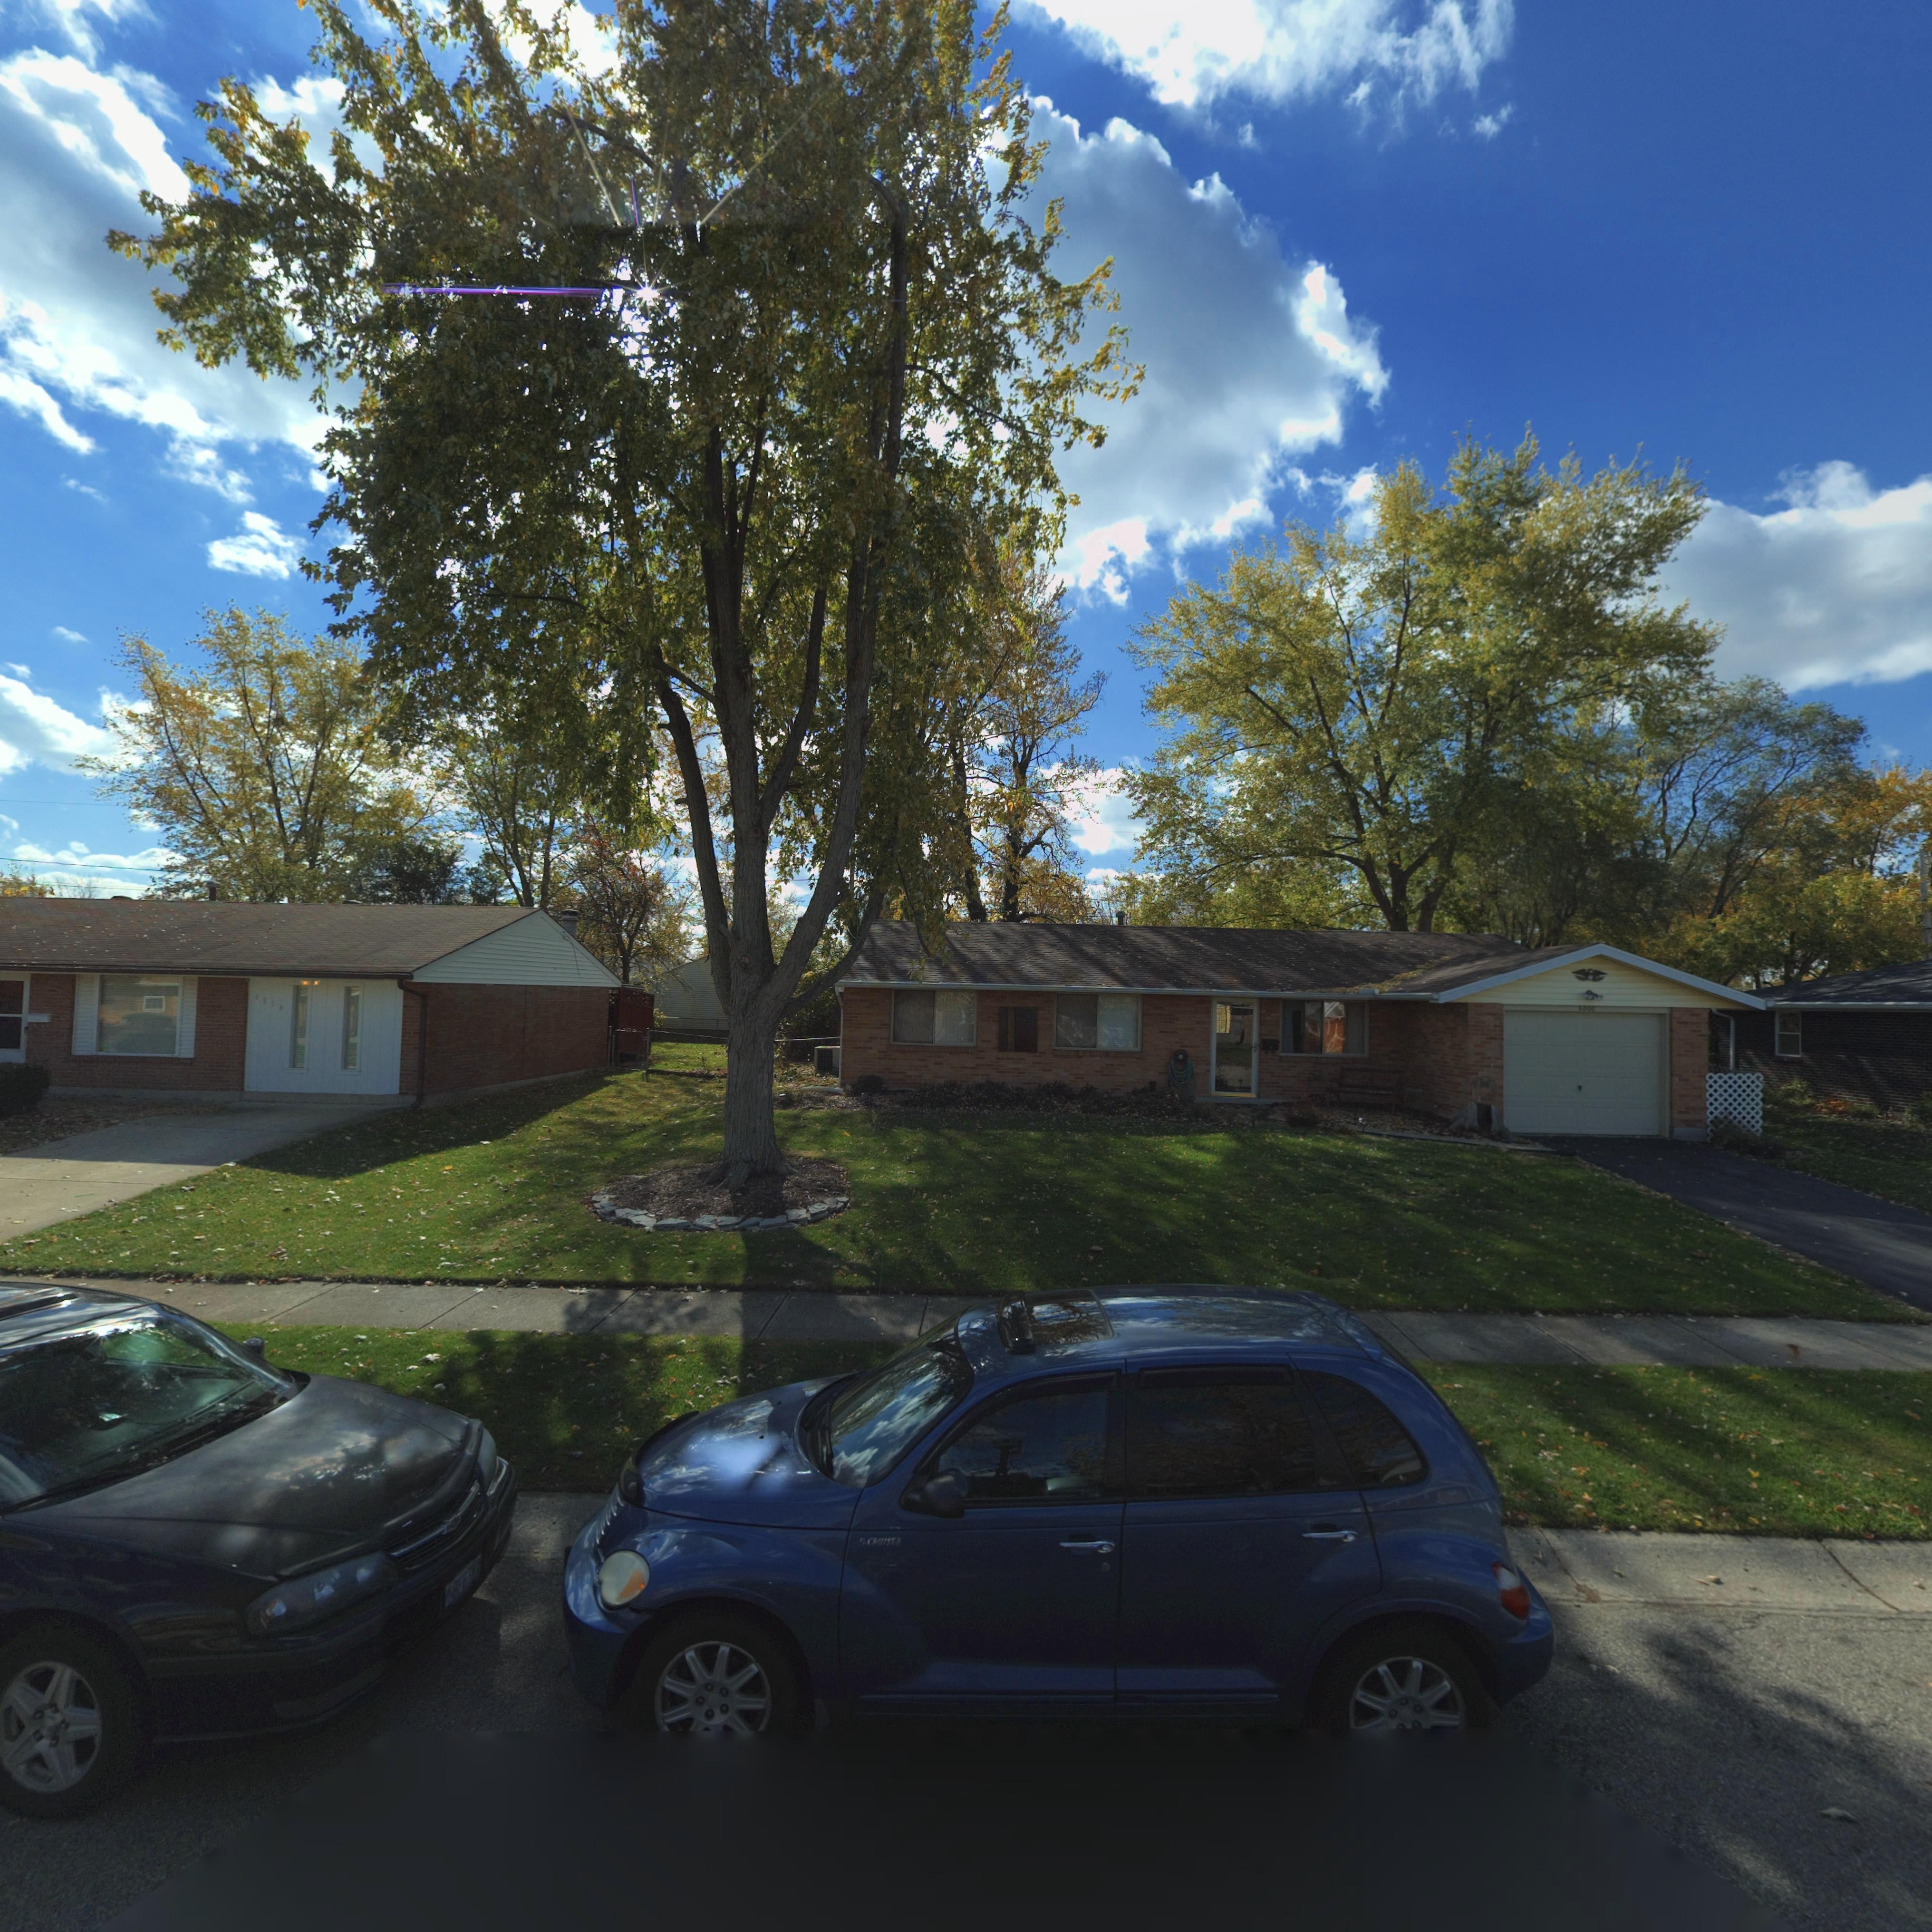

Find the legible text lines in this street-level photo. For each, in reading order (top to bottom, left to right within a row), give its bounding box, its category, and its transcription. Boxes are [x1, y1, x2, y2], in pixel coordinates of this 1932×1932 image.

[254, 993, 283, 1012] StreetNumber: 6814
[1578, 1005, 1596, 1012] StreetNumber: 6800